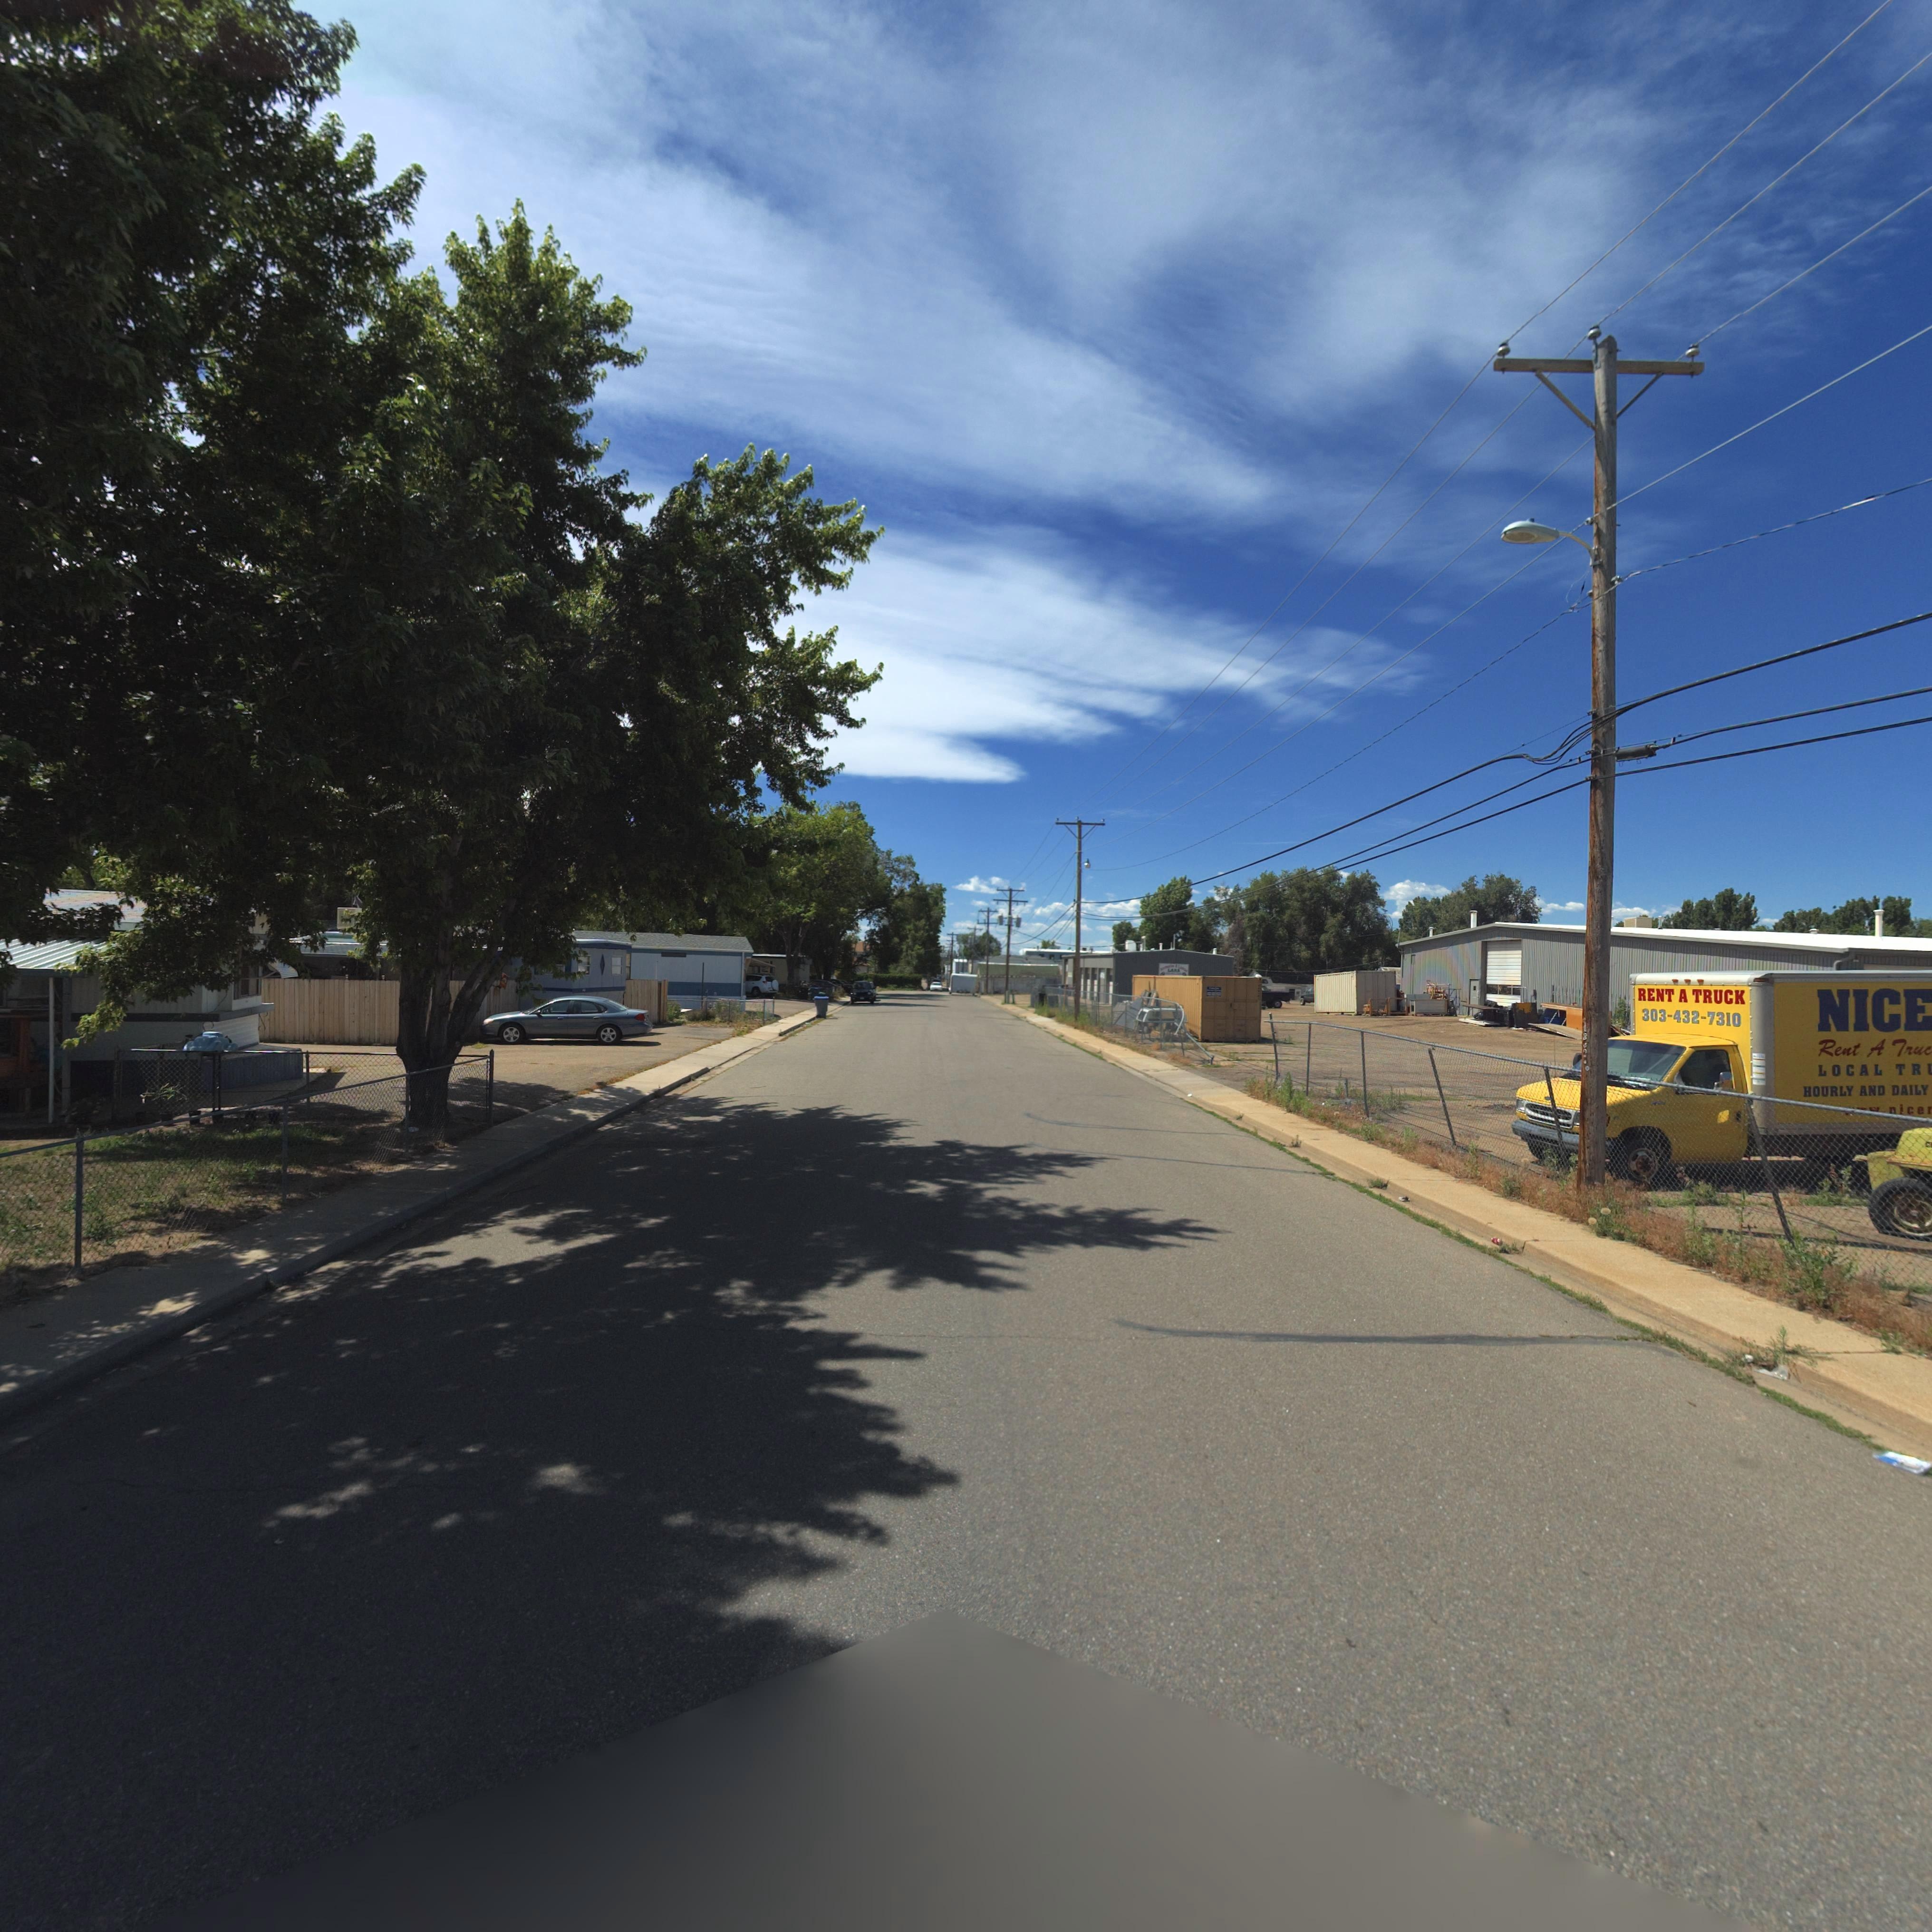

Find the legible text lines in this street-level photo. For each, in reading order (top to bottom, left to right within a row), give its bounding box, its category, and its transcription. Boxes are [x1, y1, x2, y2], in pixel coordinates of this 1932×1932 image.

[1167, 968, 1180, 972] BusinessName: LARA